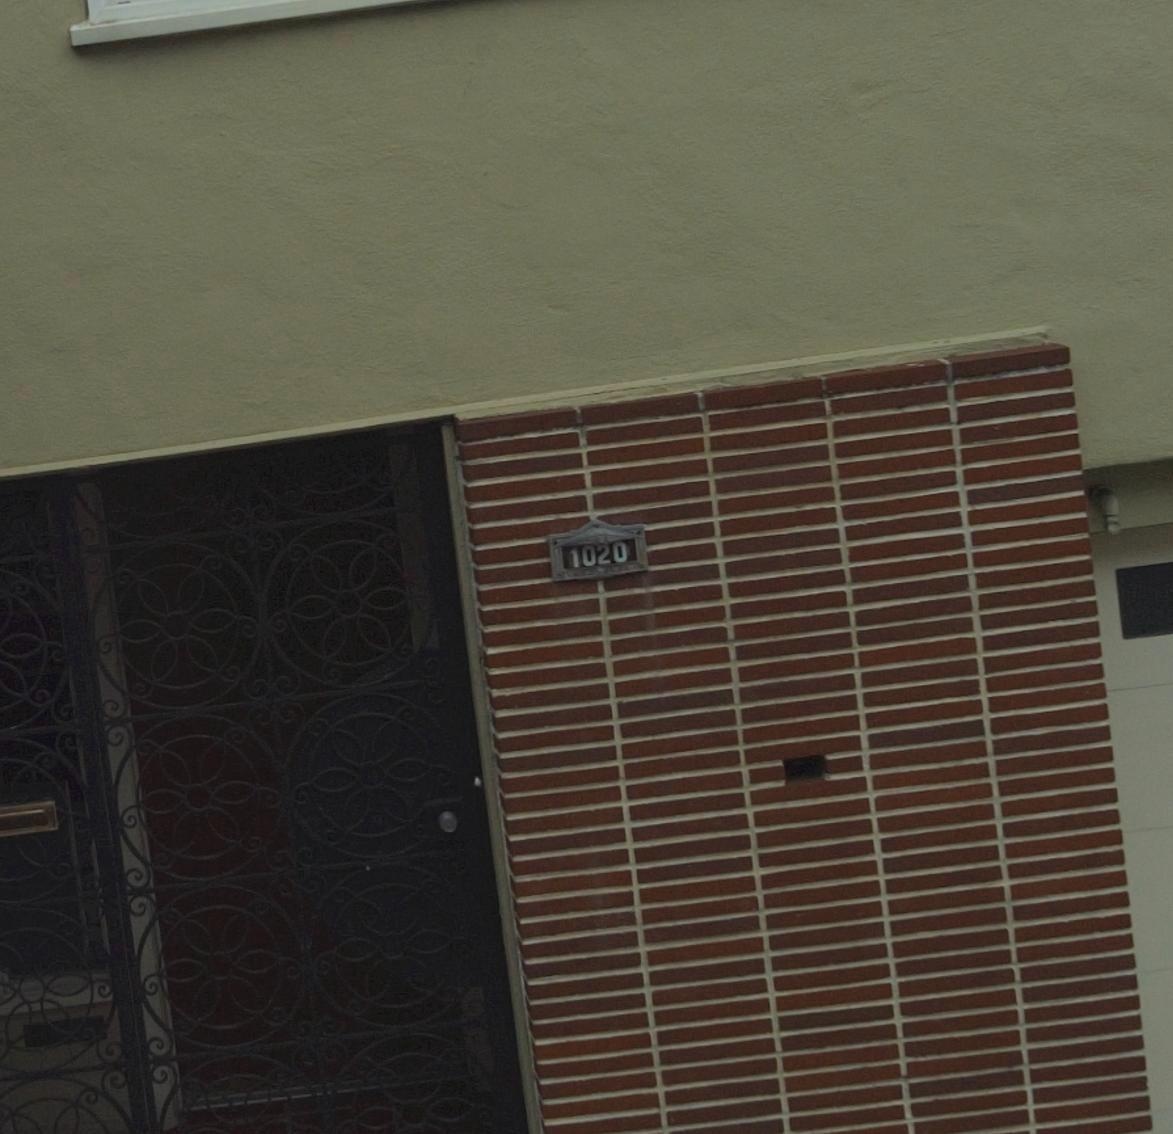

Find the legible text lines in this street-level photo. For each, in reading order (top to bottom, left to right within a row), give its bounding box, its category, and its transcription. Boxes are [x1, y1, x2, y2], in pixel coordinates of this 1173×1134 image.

[568, 538, 631, 573] StreetNumber: 1020